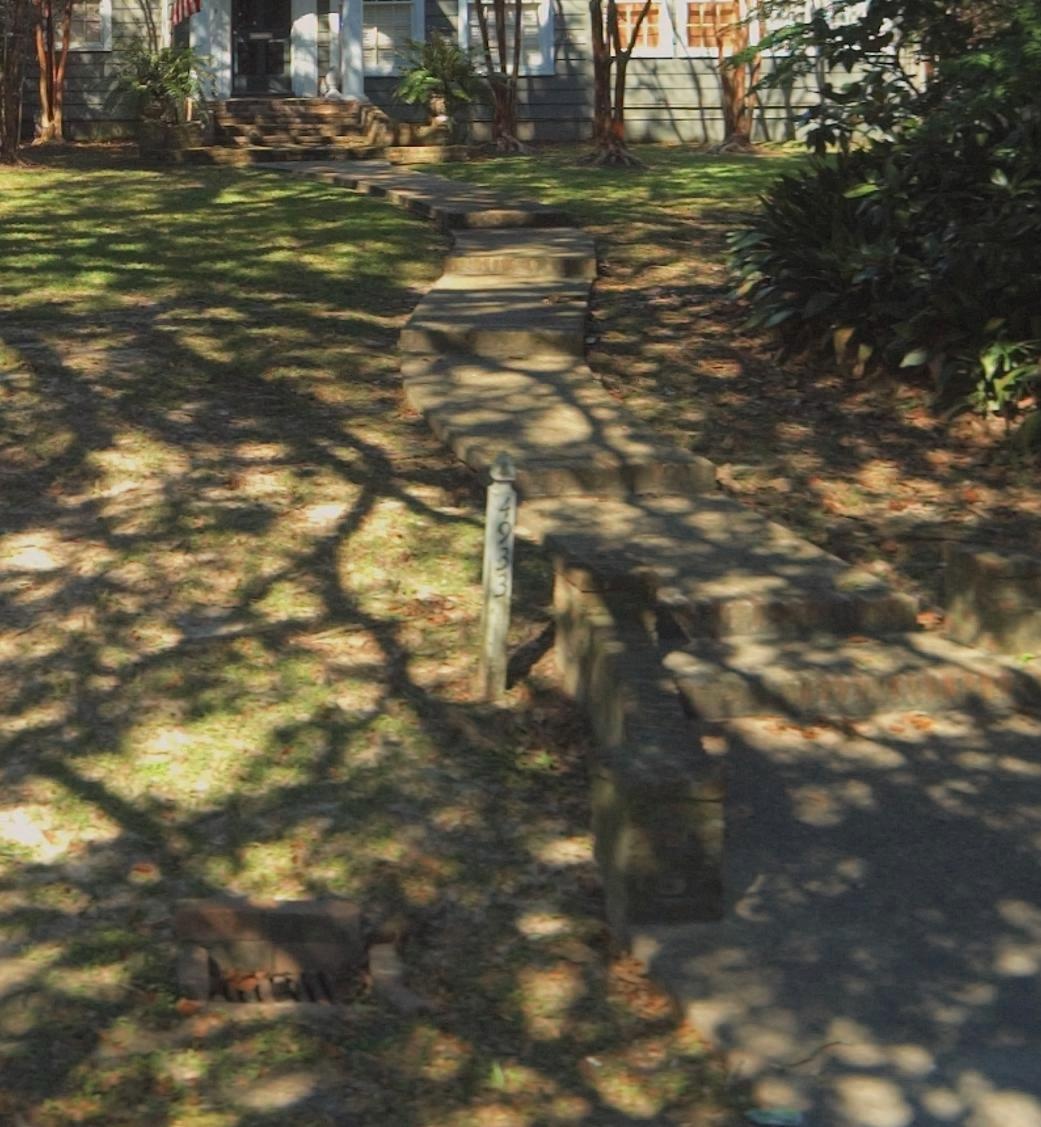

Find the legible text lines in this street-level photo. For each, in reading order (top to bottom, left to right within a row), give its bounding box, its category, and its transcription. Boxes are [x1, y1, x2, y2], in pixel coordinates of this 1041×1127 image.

[492, 495, 515, 599] StreetNumber: 4933